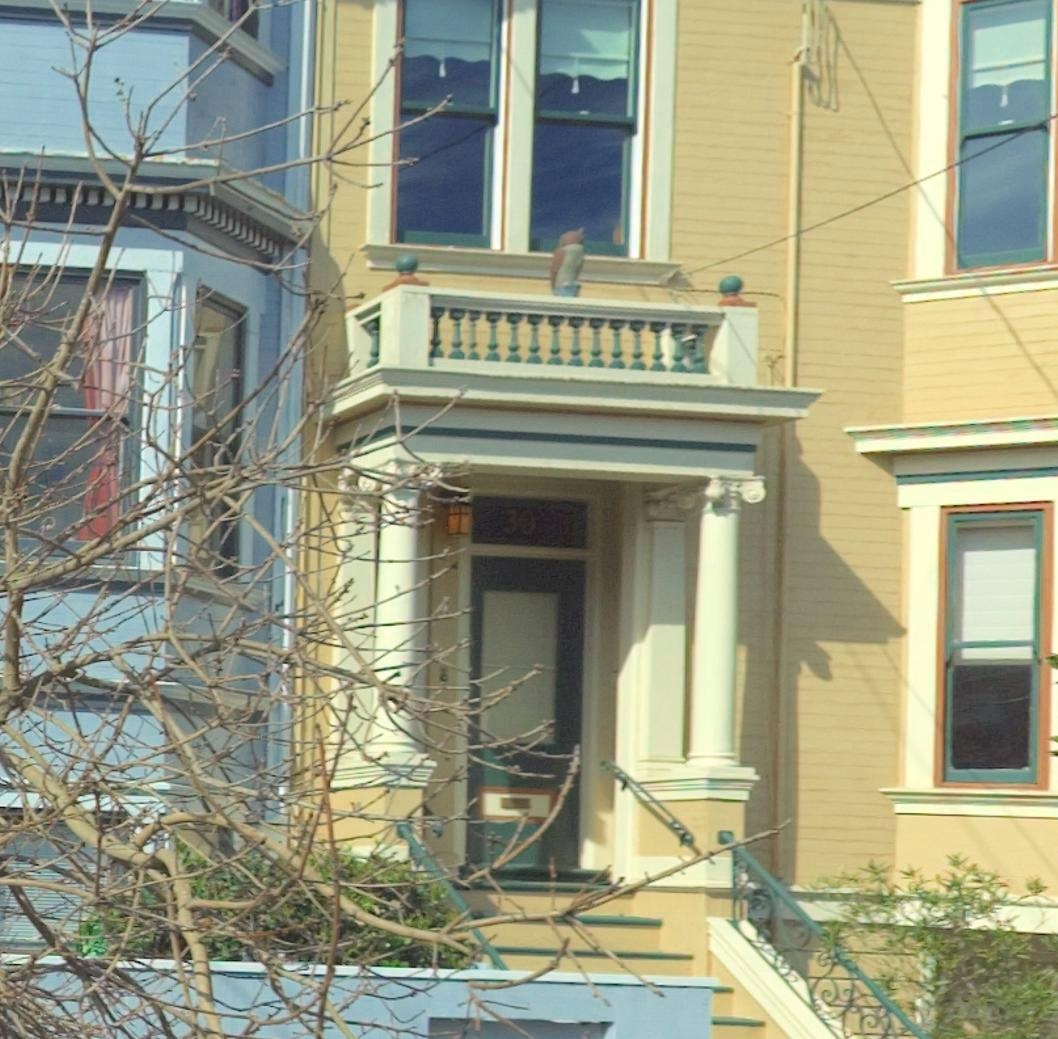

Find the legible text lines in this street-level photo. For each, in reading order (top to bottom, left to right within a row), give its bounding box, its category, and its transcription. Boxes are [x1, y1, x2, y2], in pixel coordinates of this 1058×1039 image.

[502, 508, 538, 537] StreetNumber: 30